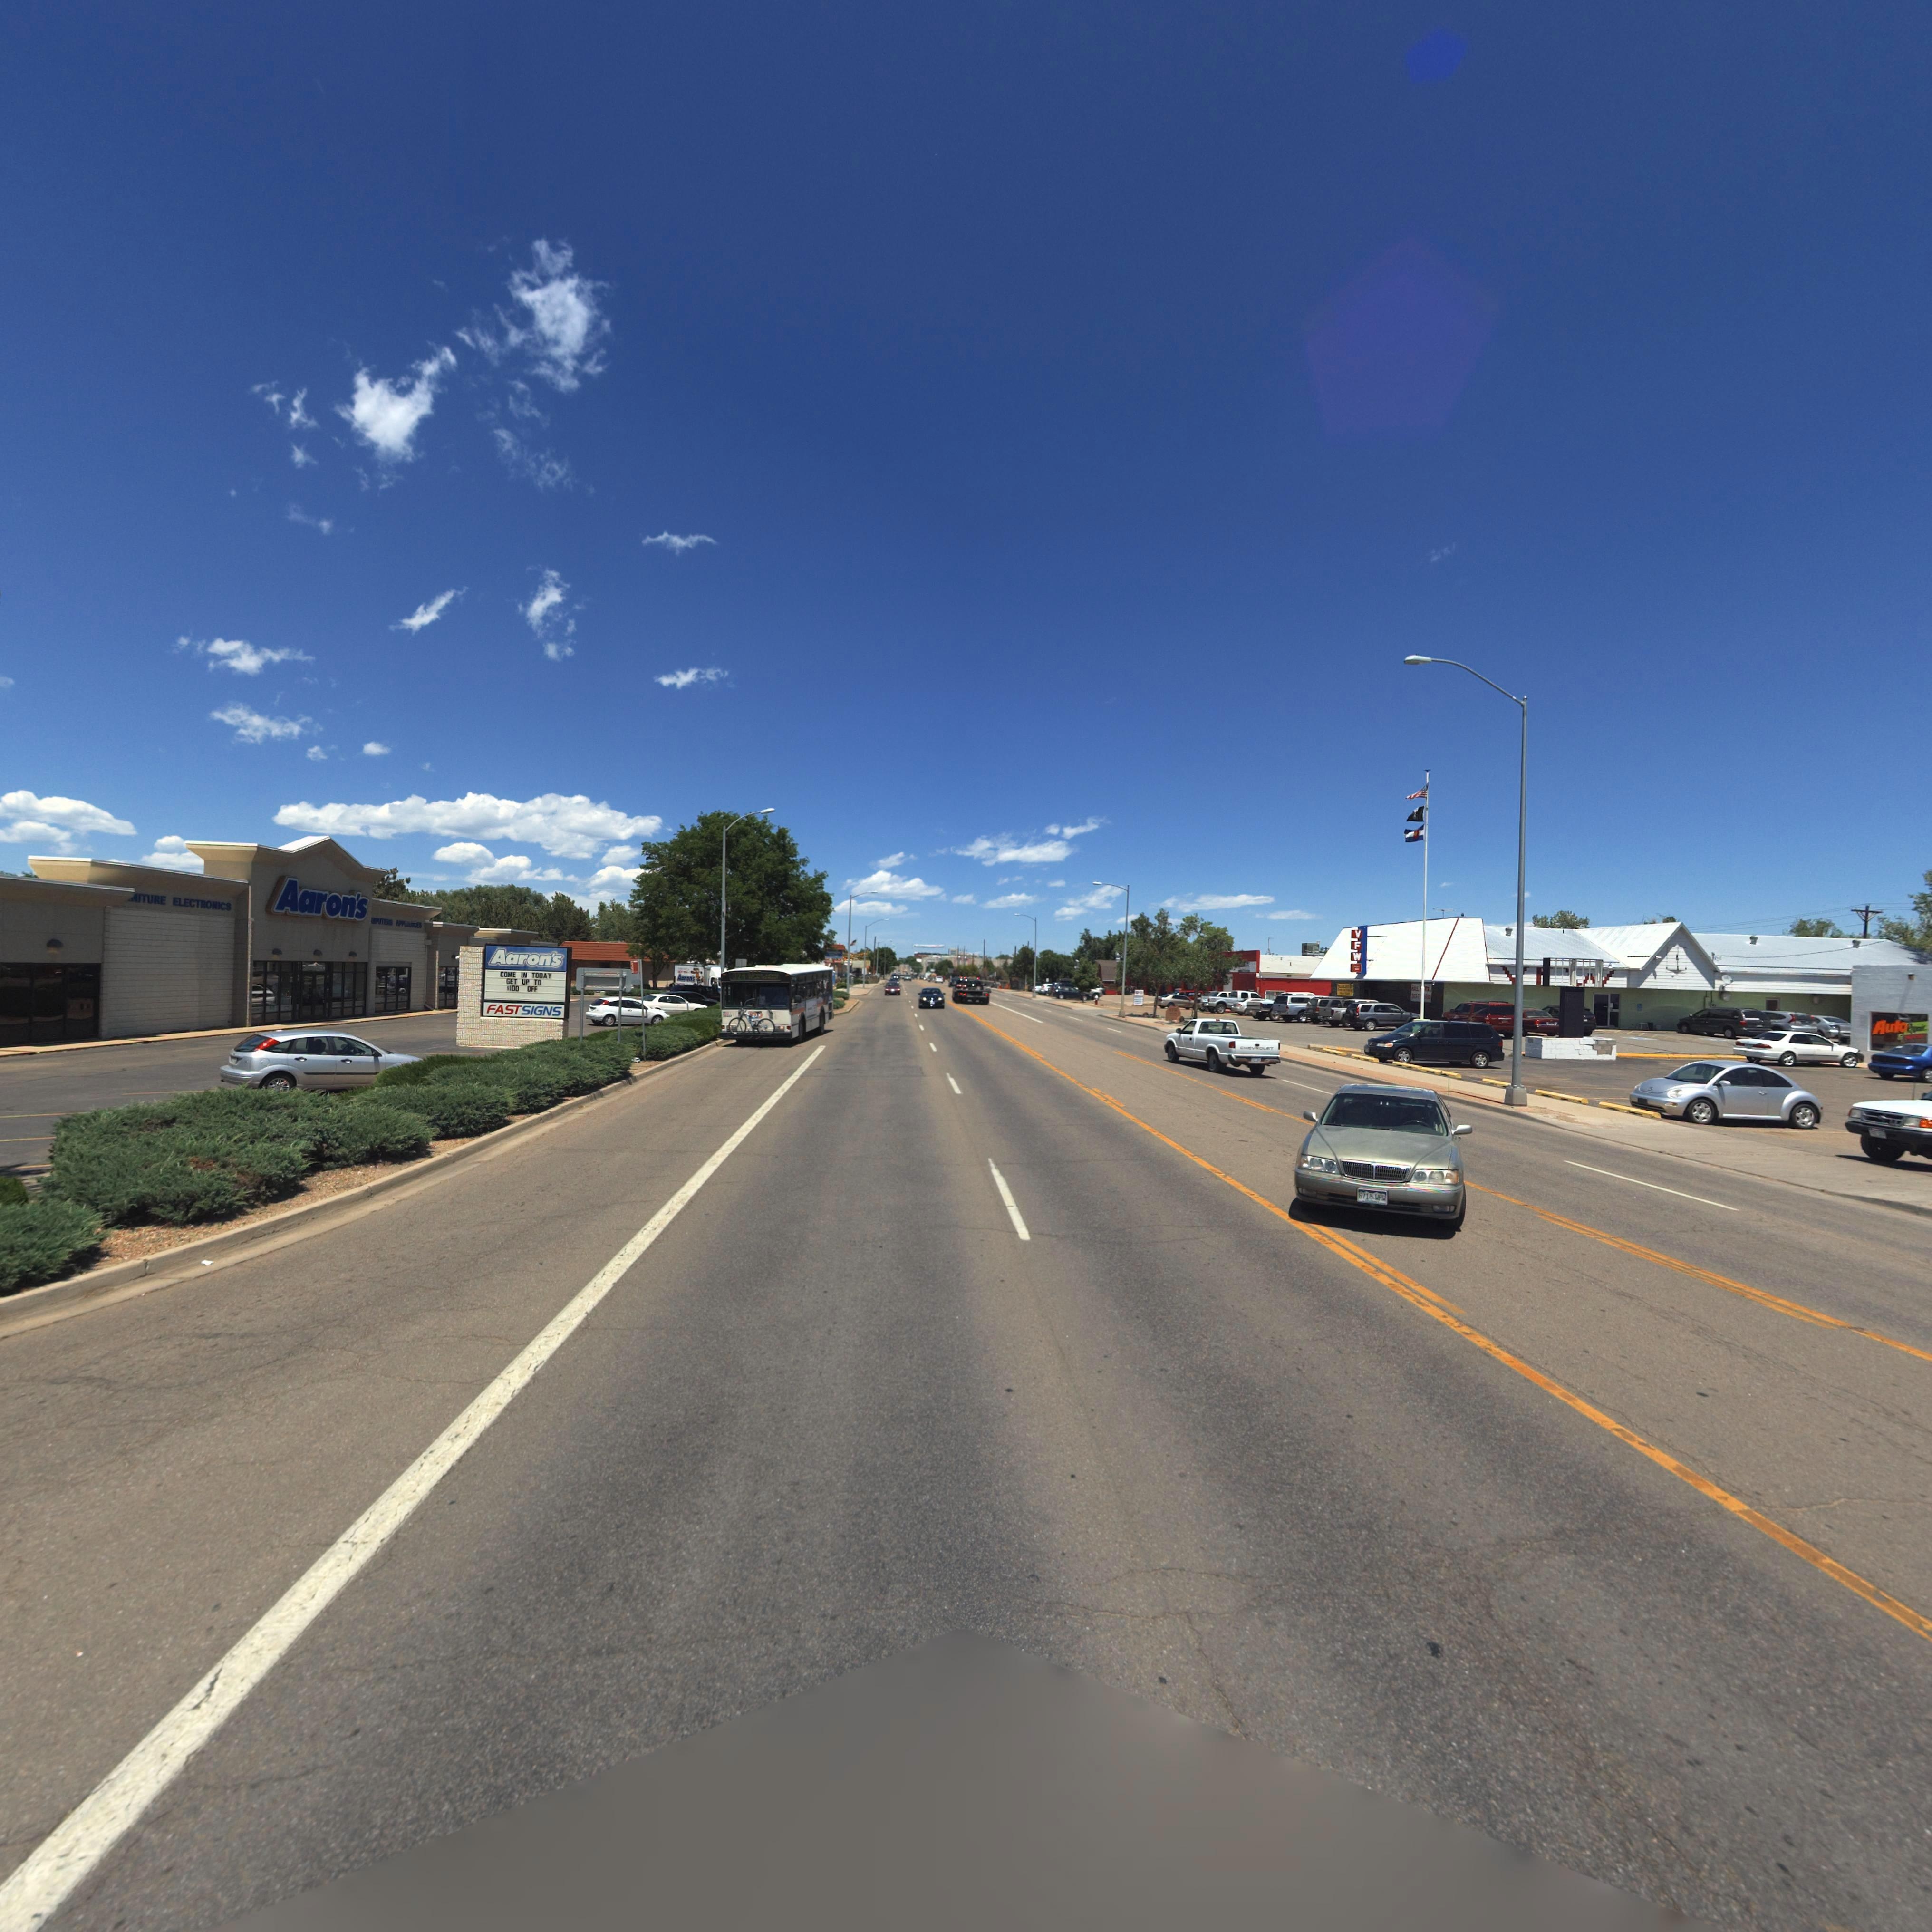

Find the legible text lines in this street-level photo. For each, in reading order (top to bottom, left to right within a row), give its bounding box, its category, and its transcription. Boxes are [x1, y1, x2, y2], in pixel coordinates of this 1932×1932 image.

[128, 893, 231, 911] BusinessName: 41R BECTON
[272, 877, 369, 919] BusinessName: Aaron's
[1352, 929, 1362, 961] BusinessName: VFW
[488, 947, 563, 967] BusinessName: Aaron's
[485, 1003, 563, 1016] BusinessName: FASTSIGNS
[1169, 1007, 1178, 1012] BusinessName: **W